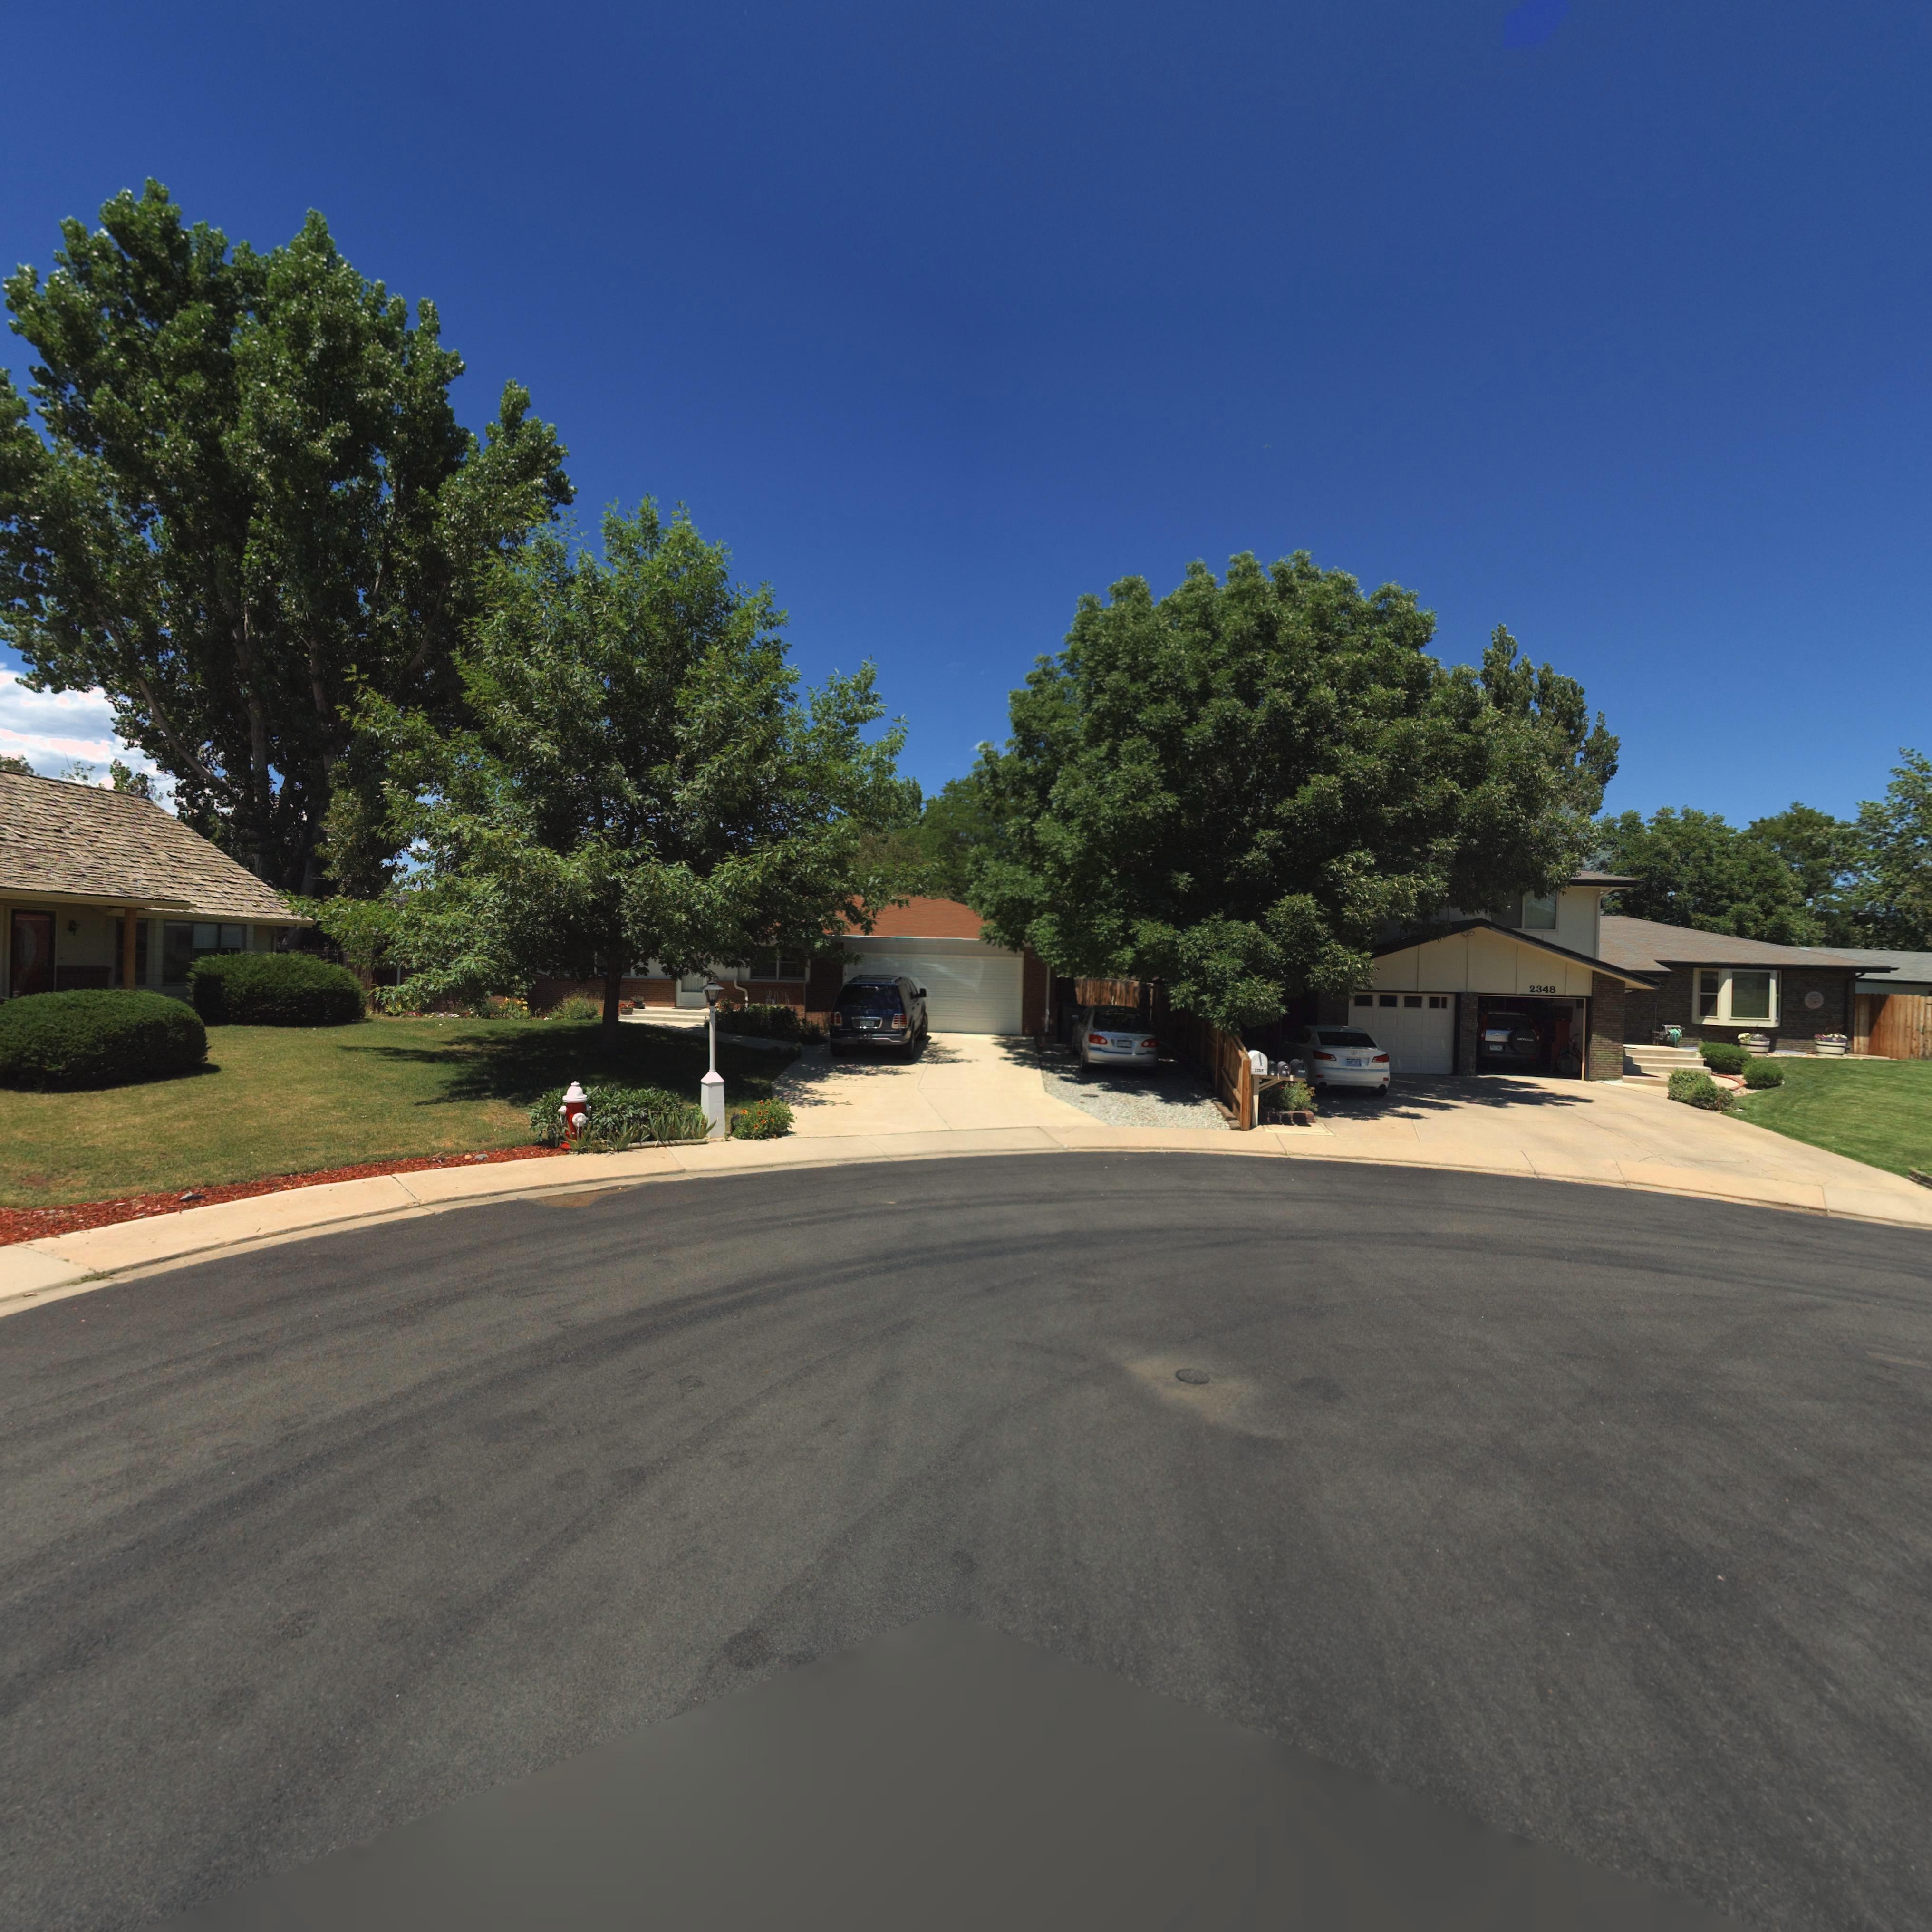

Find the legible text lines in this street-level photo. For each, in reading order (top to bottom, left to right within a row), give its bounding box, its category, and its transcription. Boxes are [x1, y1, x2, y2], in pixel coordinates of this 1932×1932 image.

[1529, 985, 1555, 993] StreetNumber: 2348
[1254, 1068, 1264, 1072] StreetNumber: 2354
[1297, 1069, 1305, 1073] StreetNumber: 2348